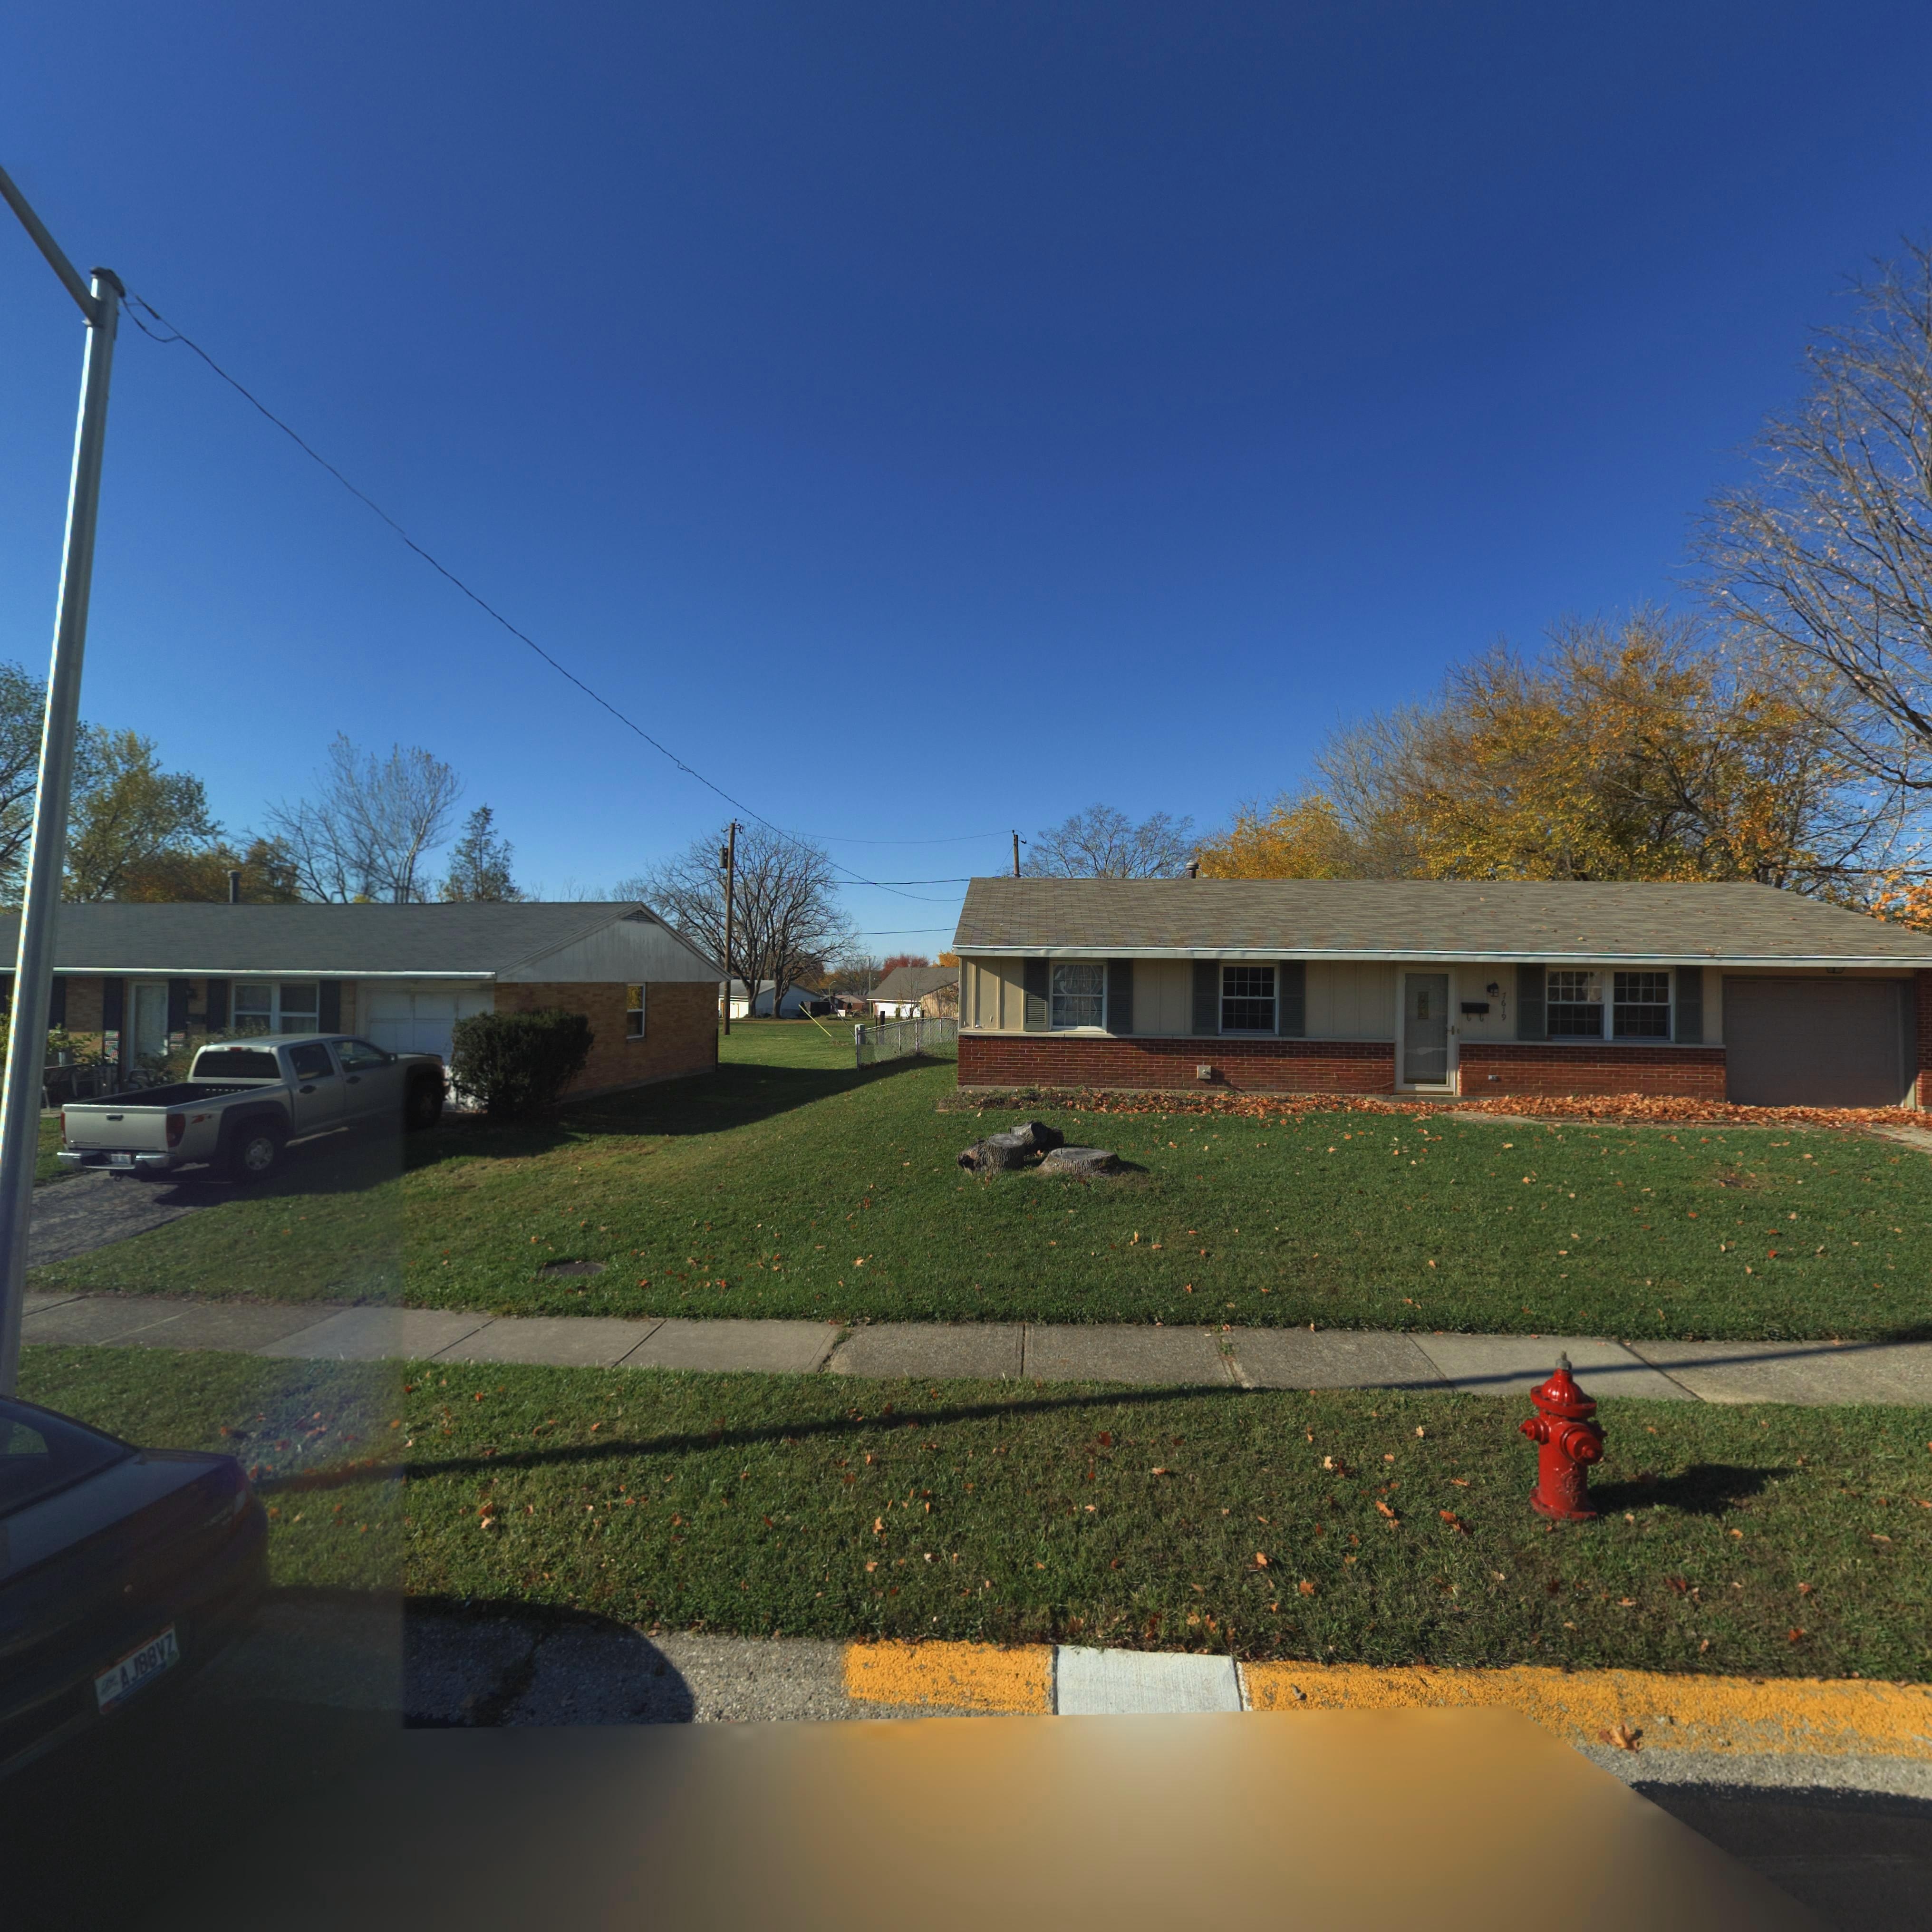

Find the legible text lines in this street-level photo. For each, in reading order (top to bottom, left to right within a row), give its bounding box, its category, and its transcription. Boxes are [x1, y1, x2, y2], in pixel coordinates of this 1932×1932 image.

[1500, 991, 1507, 1022] StreetNumber: 7619